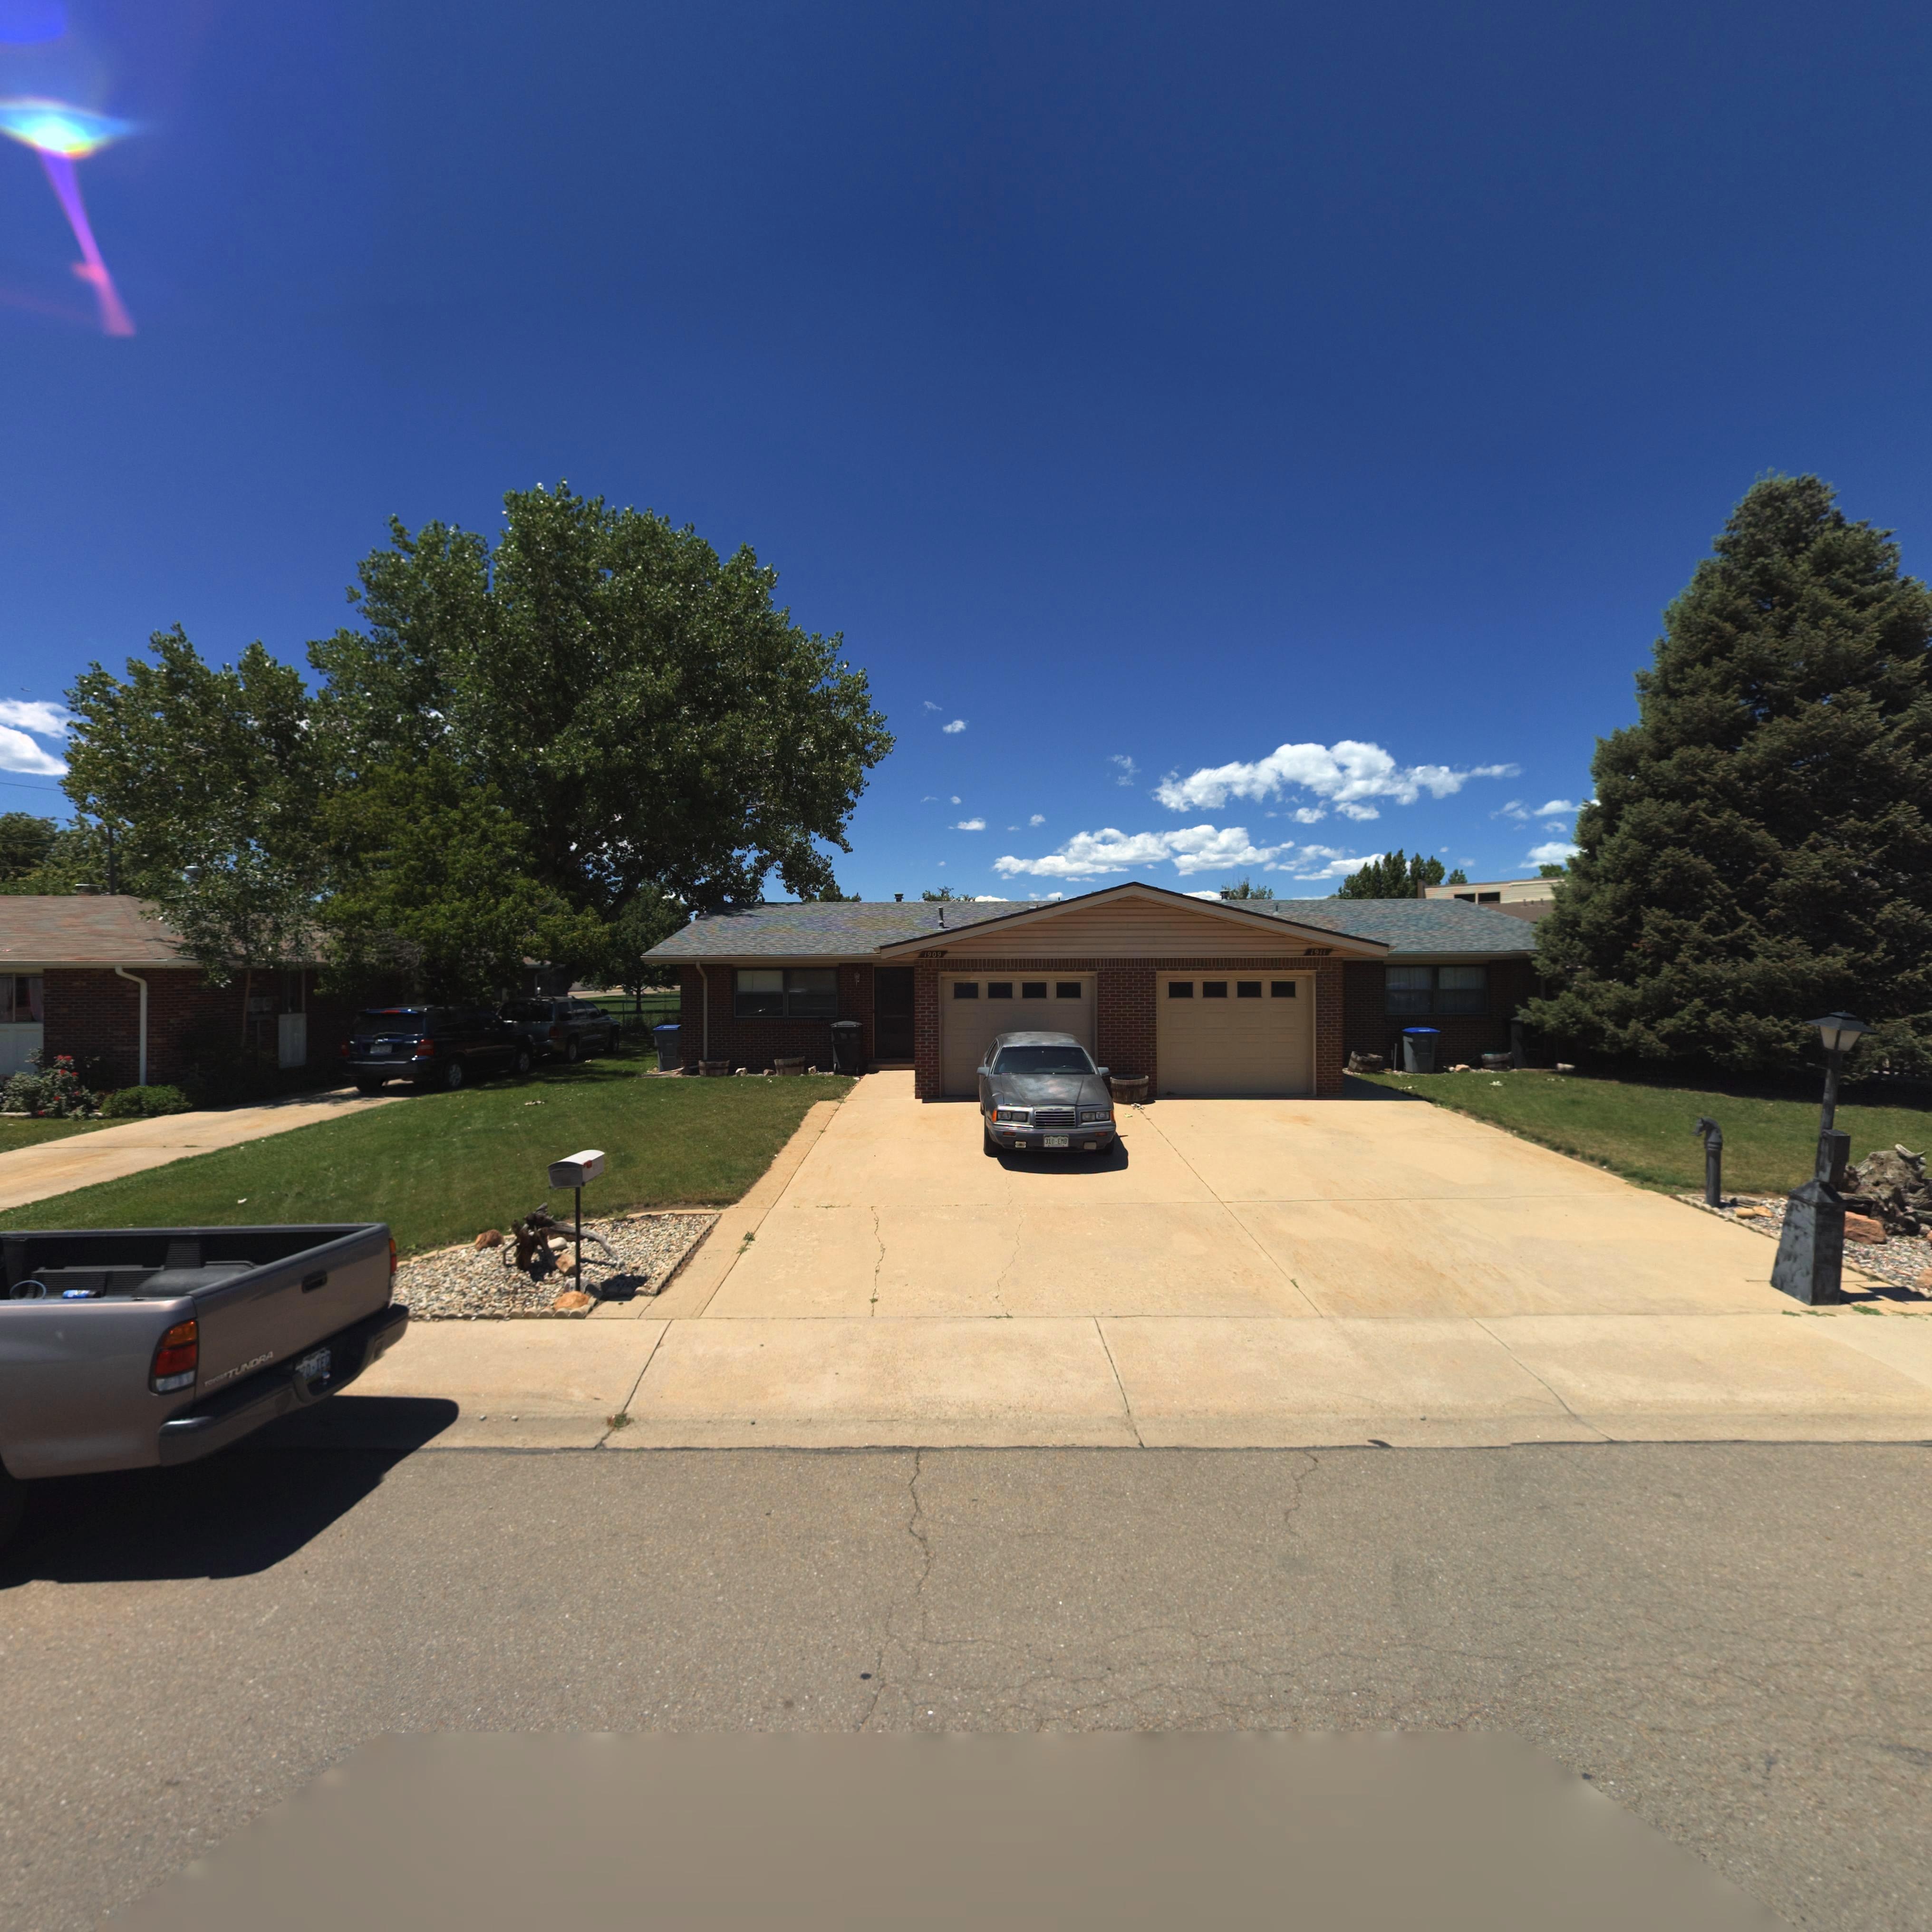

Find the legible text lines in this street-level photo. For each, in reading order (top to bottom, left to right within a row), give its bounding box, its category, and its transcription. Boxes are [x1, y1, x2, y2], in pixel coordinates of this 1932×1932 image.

[924, 951, 941, 957] StreetNumber: 1909
[1310, 948, 1326, 955] StreetNumber: 1911